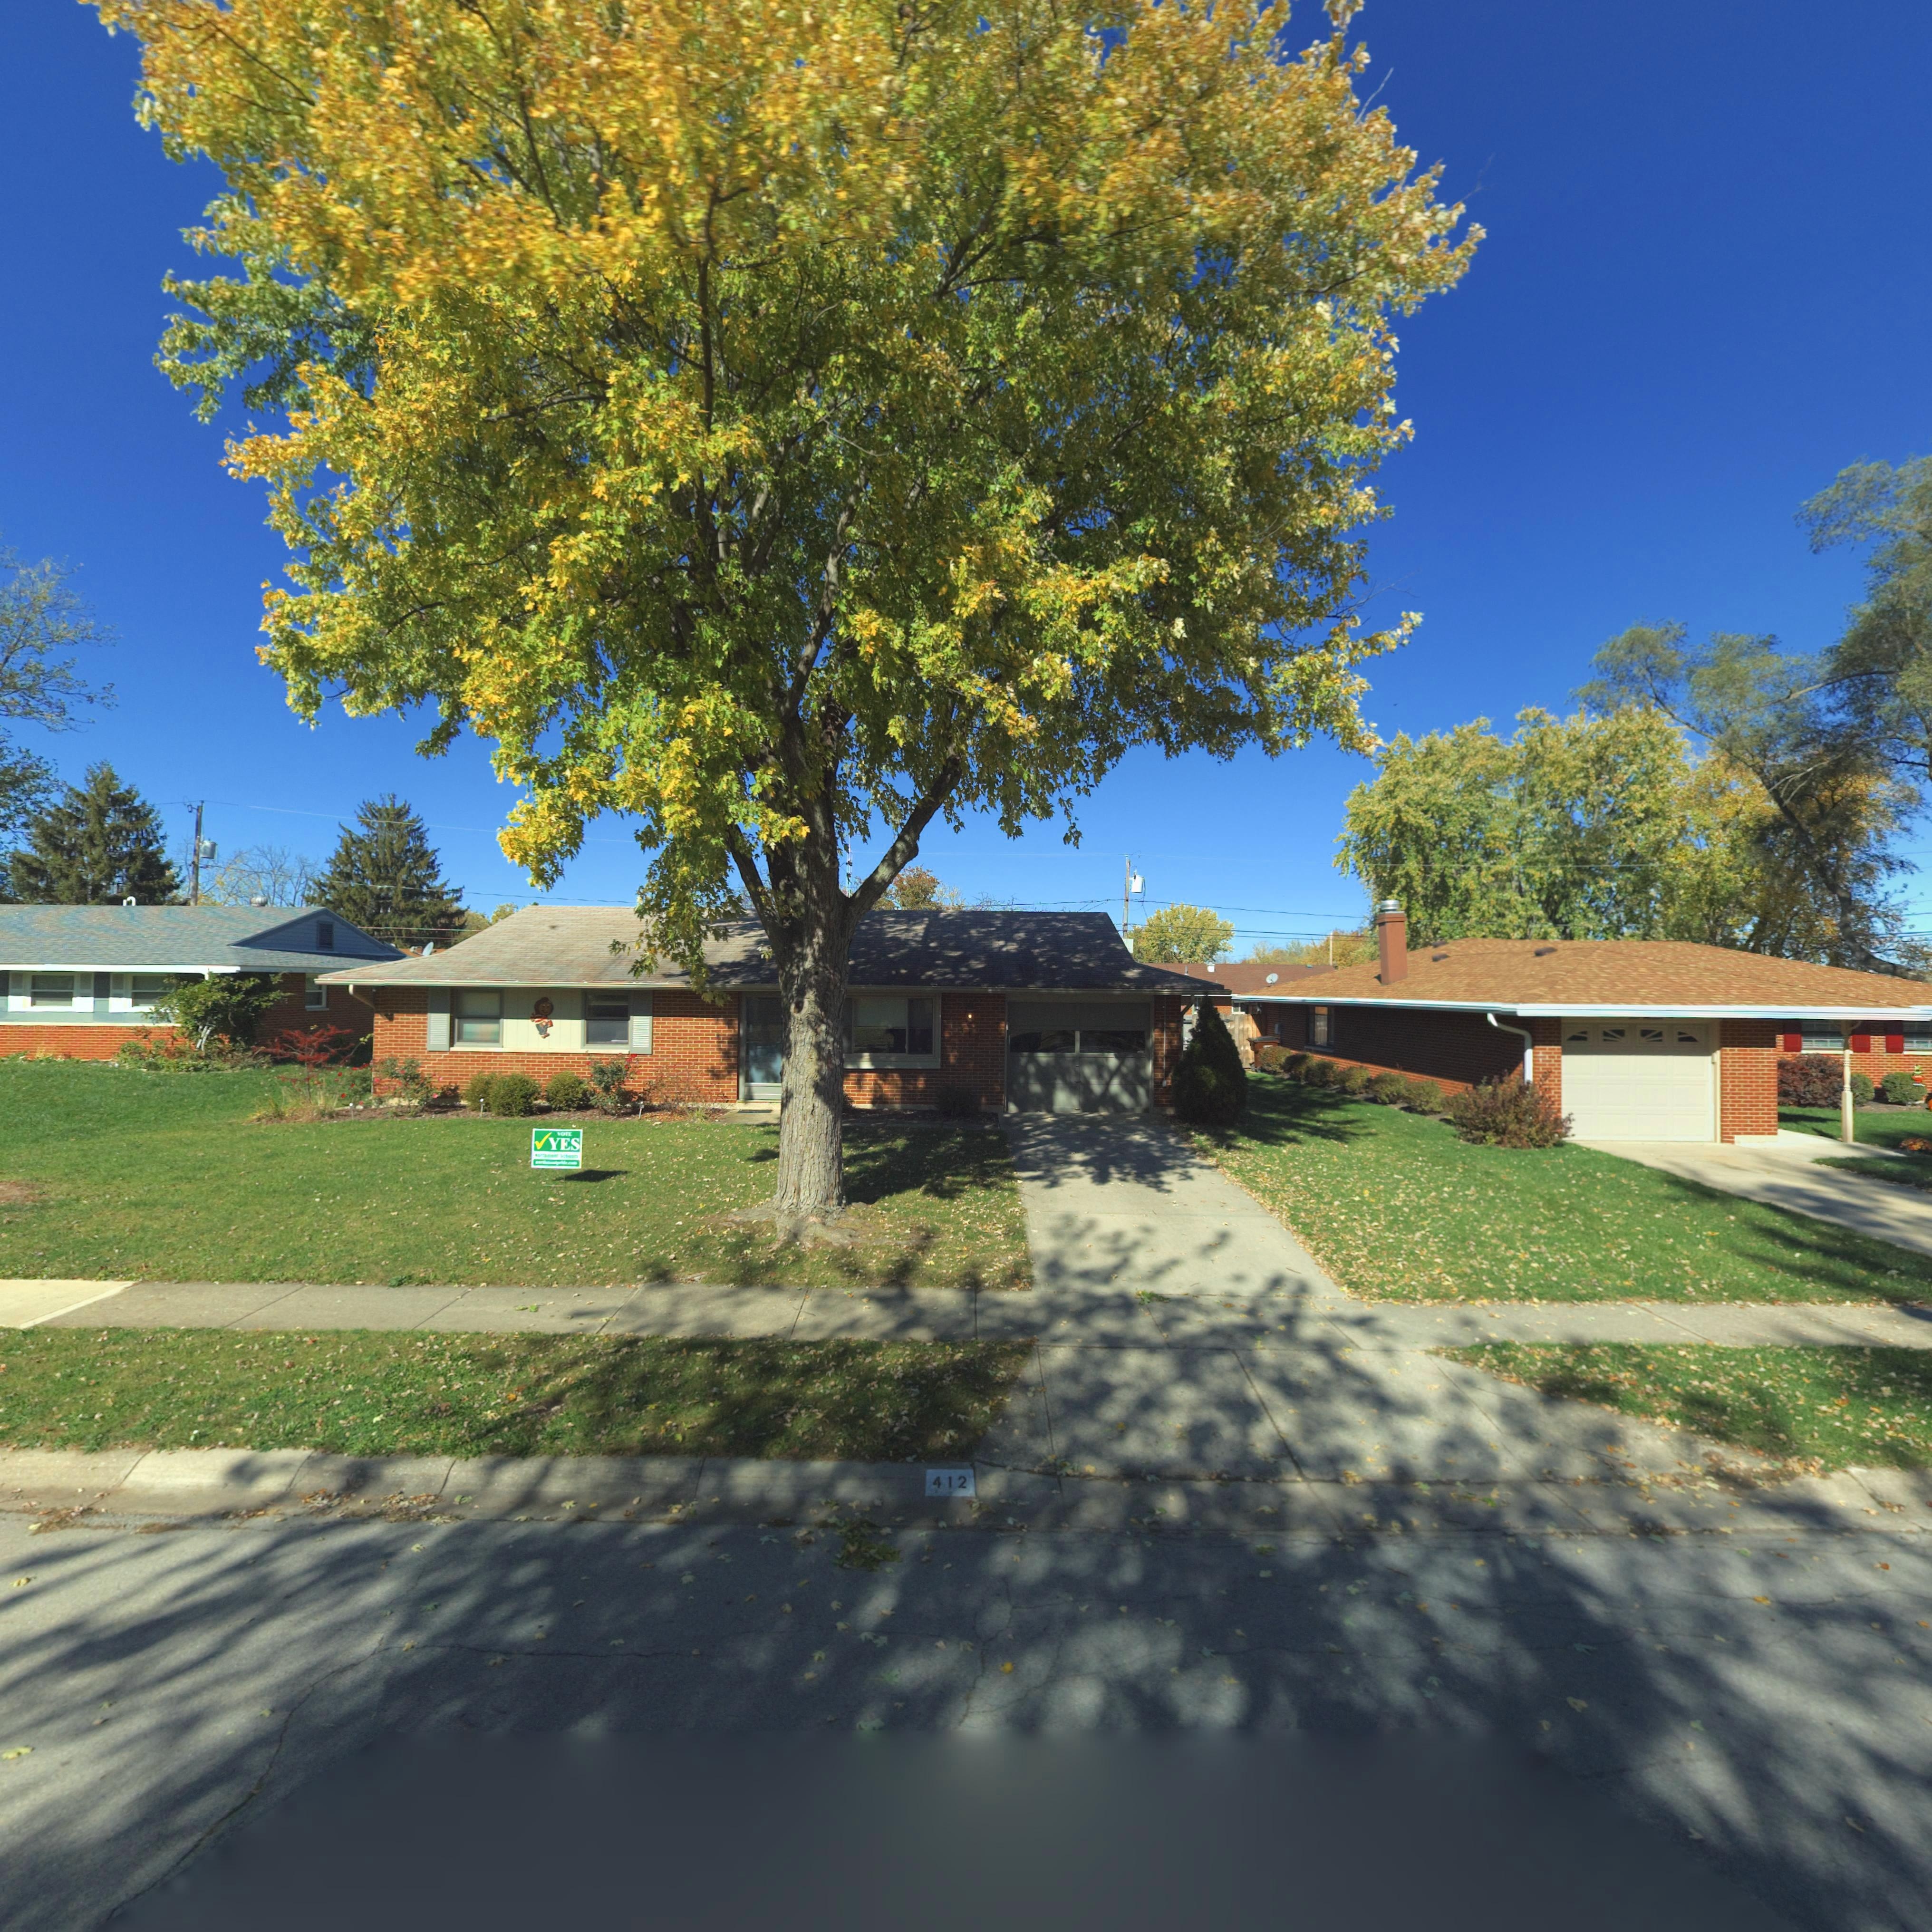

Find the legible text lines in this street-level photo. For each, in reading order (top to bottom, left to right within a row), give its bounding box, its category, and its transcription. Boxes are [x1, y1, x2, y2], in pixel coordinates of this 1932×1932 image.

[931, 1474, 968, 1490] StreetNumber: 412